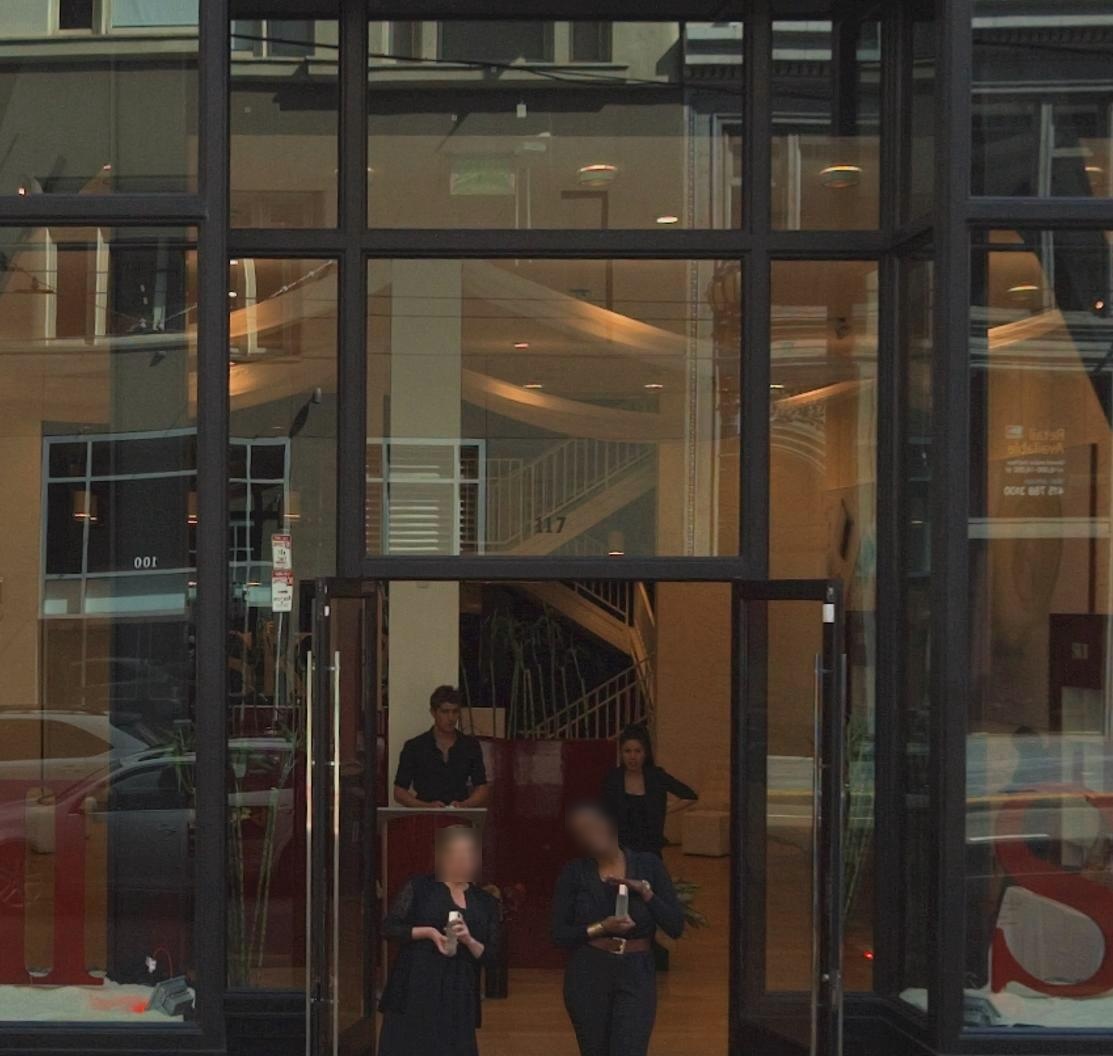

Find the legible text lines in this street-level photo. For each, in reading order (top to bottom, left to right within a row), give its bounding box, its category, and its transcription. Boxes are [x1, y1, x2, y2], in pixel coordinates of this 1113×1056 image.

[534, 515, 567, 535] StreetNumber: 117
[131, 555, 159, 569] None: 00*